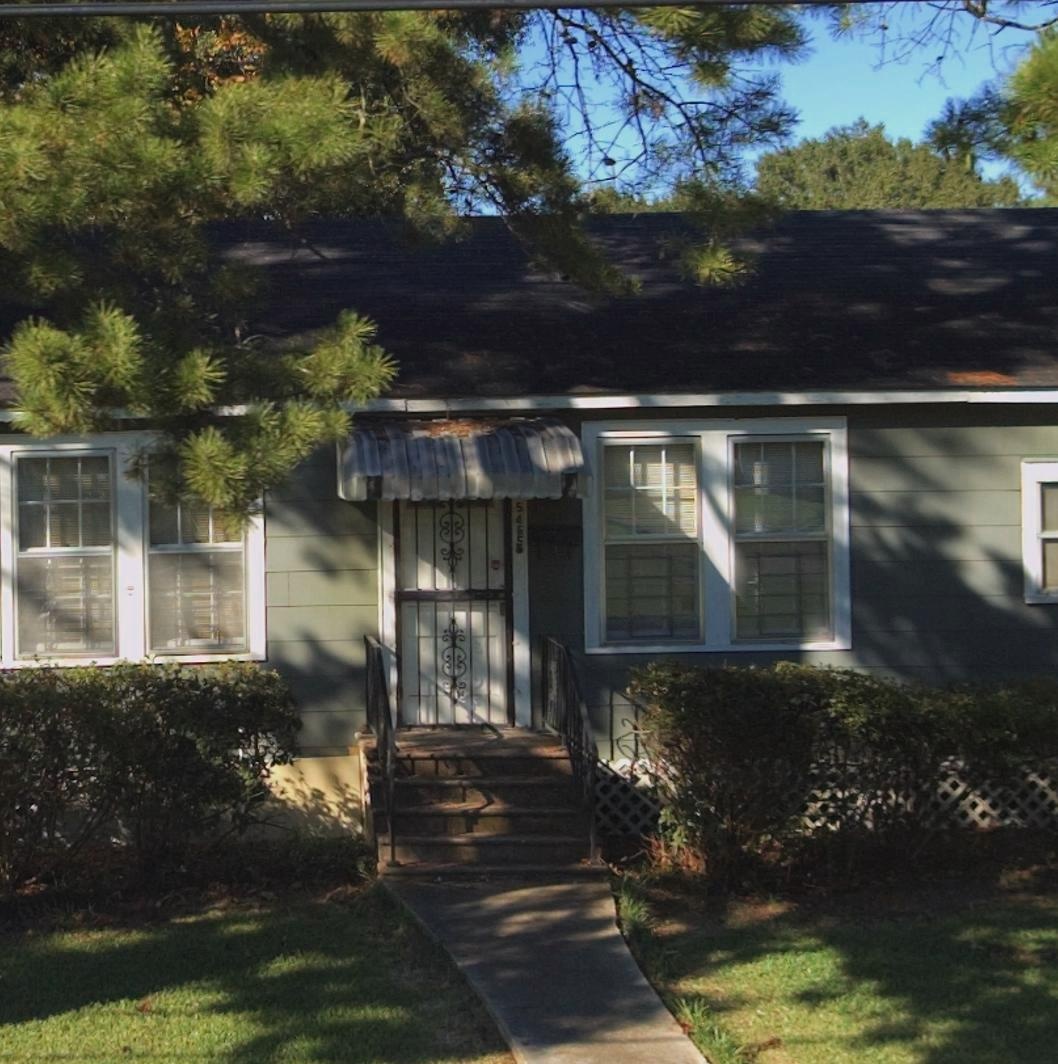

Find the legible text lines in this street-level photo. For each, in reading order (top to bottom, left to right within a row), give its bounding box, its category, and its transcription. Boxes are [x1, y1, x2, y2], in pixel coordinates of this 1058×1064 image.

[514, 499, 525, 547] StreetNumber: 5455